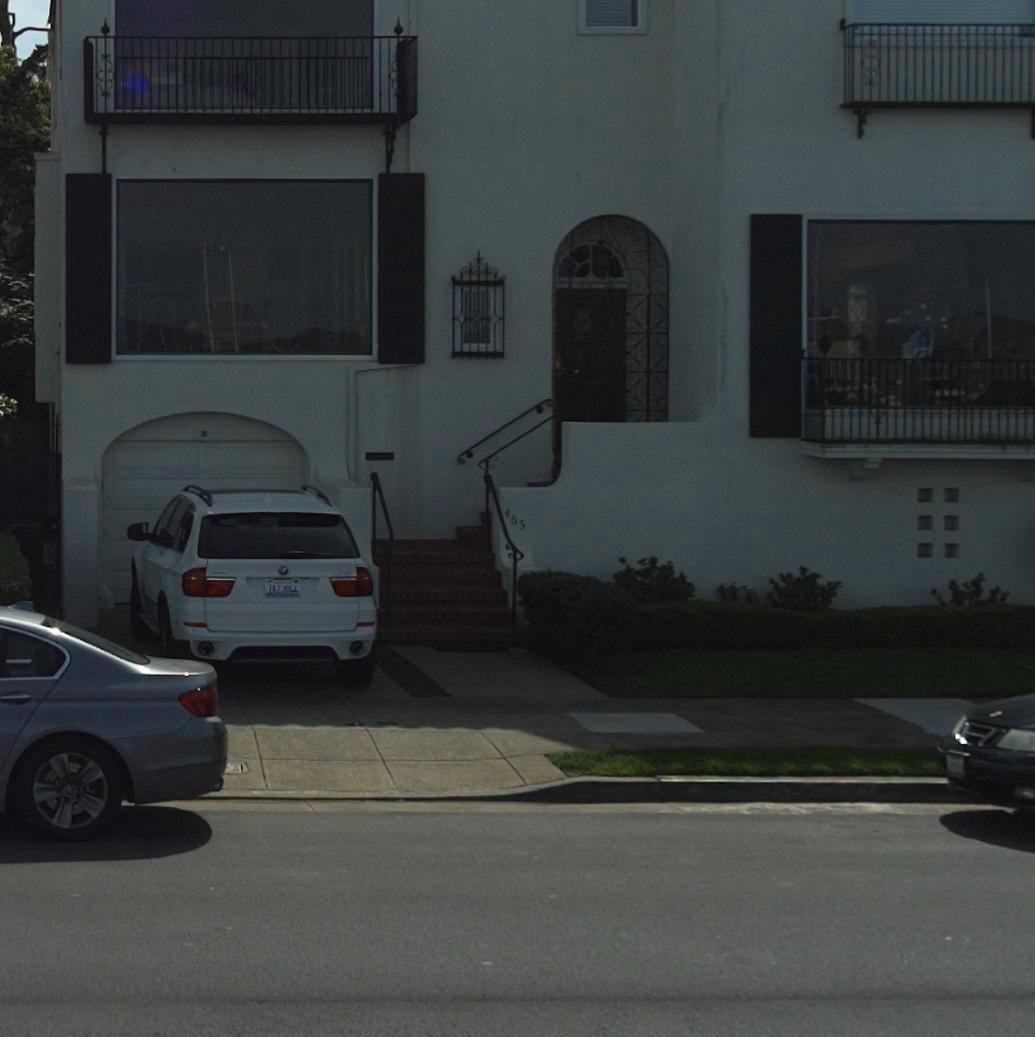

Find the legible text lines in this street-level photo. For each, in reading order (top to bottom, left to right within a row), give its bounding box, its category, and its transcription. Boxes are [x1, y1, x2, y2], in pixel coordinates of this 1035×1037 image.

[502, 506, 529, 532] StreetNumber: 465